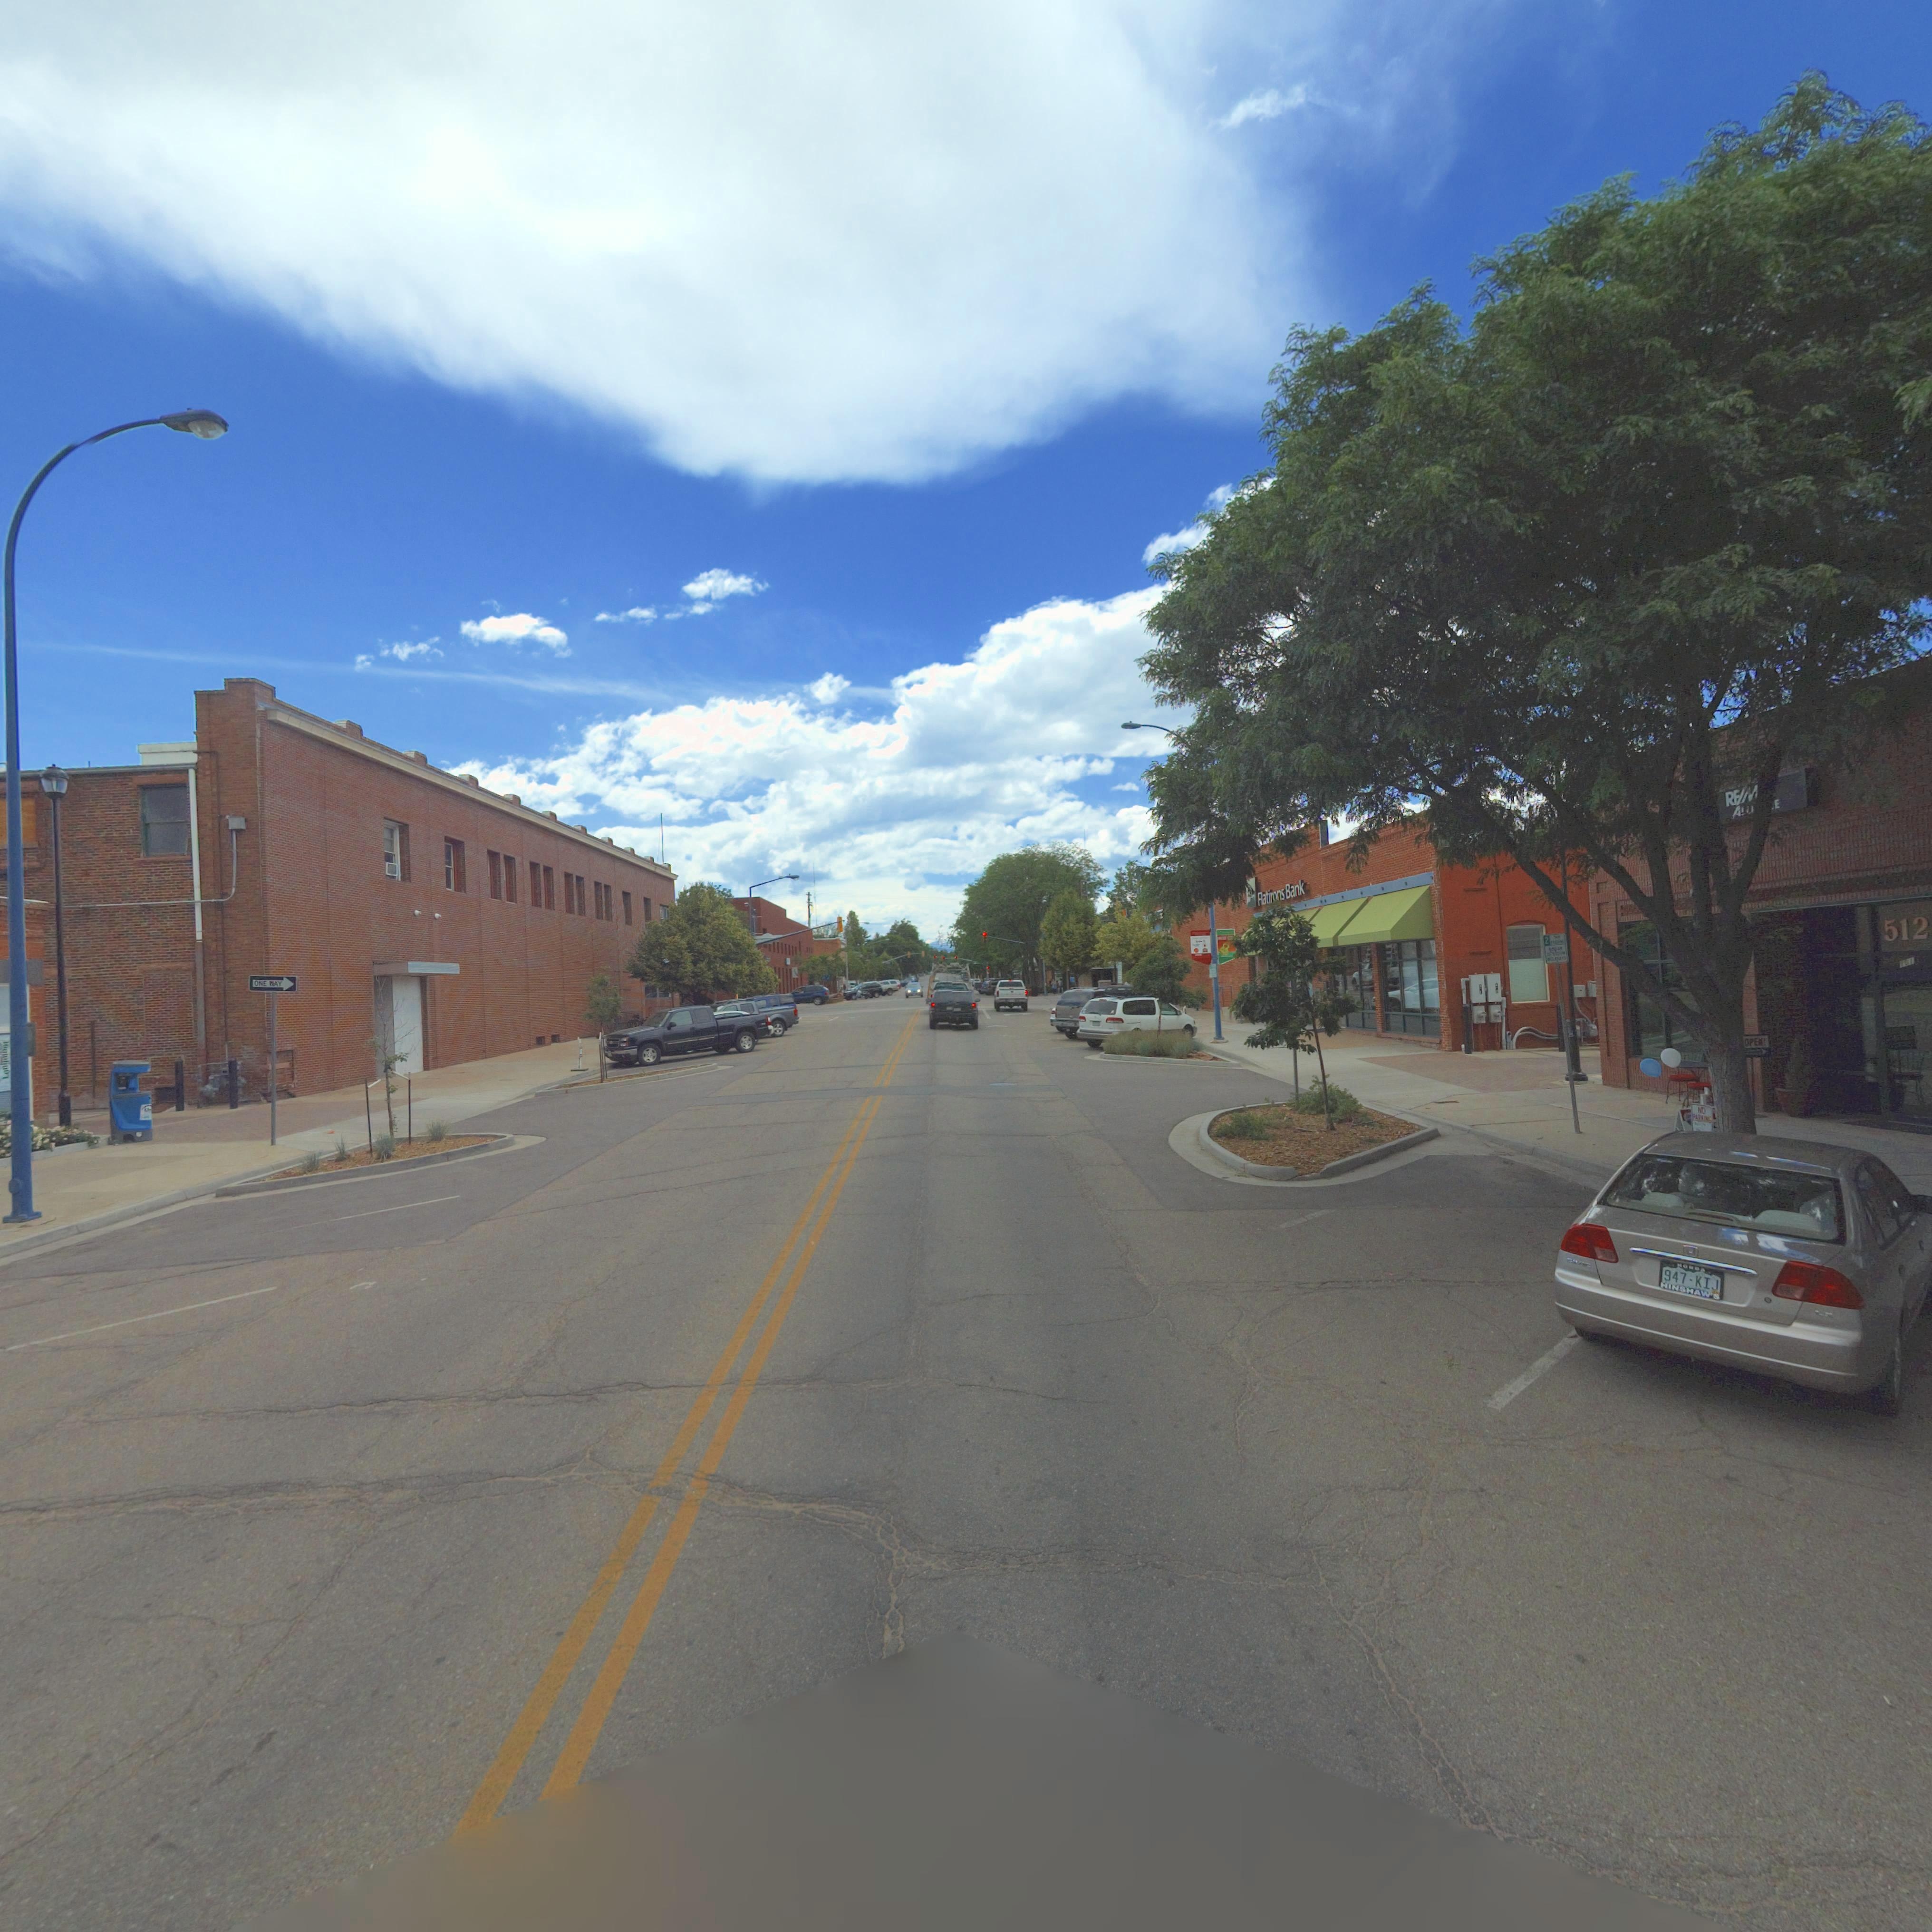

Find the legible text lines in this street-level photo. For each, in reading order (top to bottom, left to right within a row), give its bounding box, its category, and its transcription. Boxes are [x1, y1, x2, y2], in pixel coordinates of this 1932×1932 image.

[1725, 783, 1758, 807] BusinessName: RE/M
[1730, 805, 1754, 819] BusinessName: ALL
[1774, 799, 1780, 809] BusinessName: E
[1257, 878, 1305, 907] BusinessName: Flatirons Bank
[1883, 917, 1928, 941] StreetNumber: 512
[1900, 957, 1913, 967] StreetNumber: 101